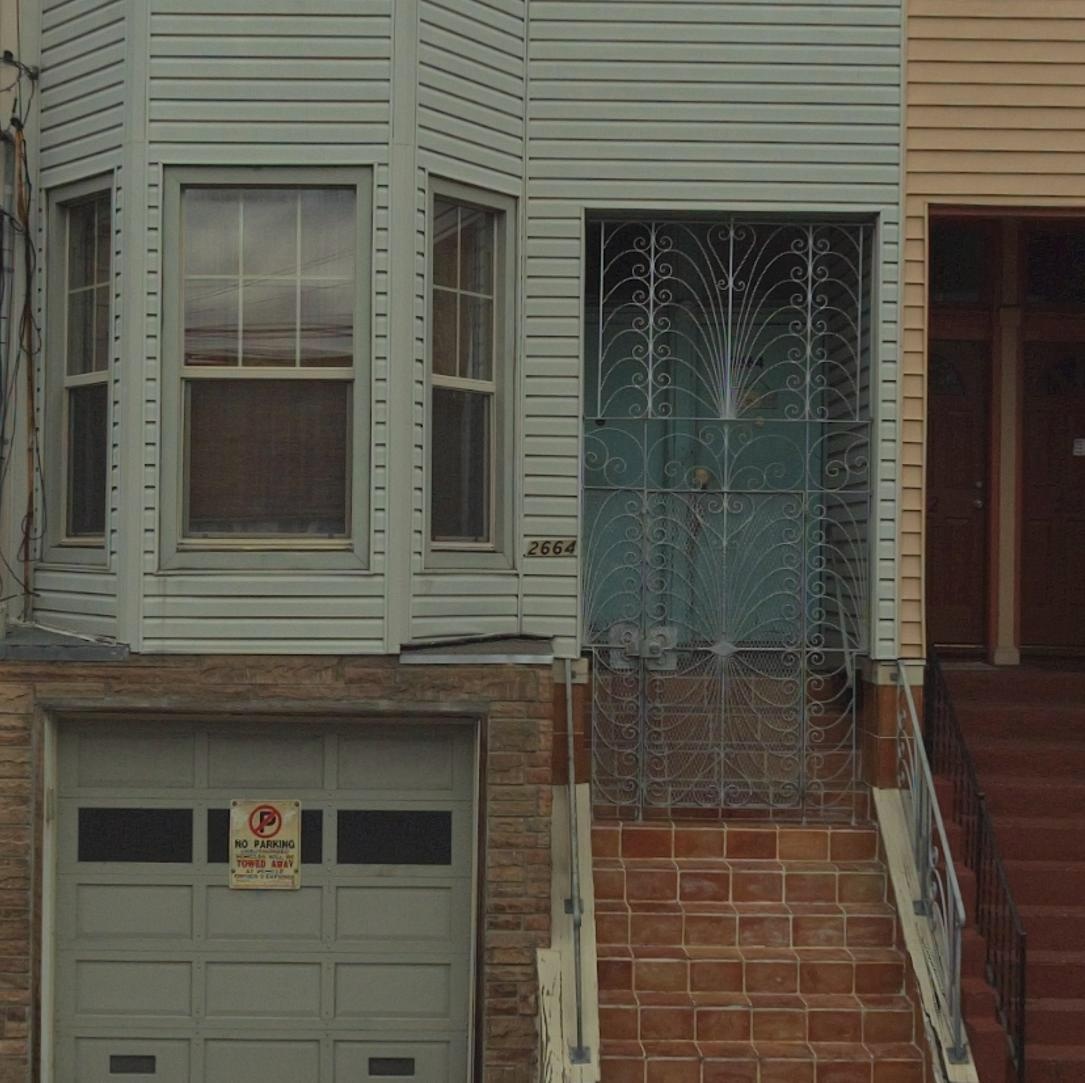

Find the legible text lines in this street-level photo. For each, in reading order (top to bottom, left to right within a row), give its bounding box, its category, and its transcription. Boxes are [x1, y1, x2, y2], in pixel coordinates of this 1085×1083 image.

[524, 539, 578, 556] StreetNumber: 2664
[234, 838, 295, 850] None: NO PARKING
[235, 858, 295, 869] None: TOWED AWAY